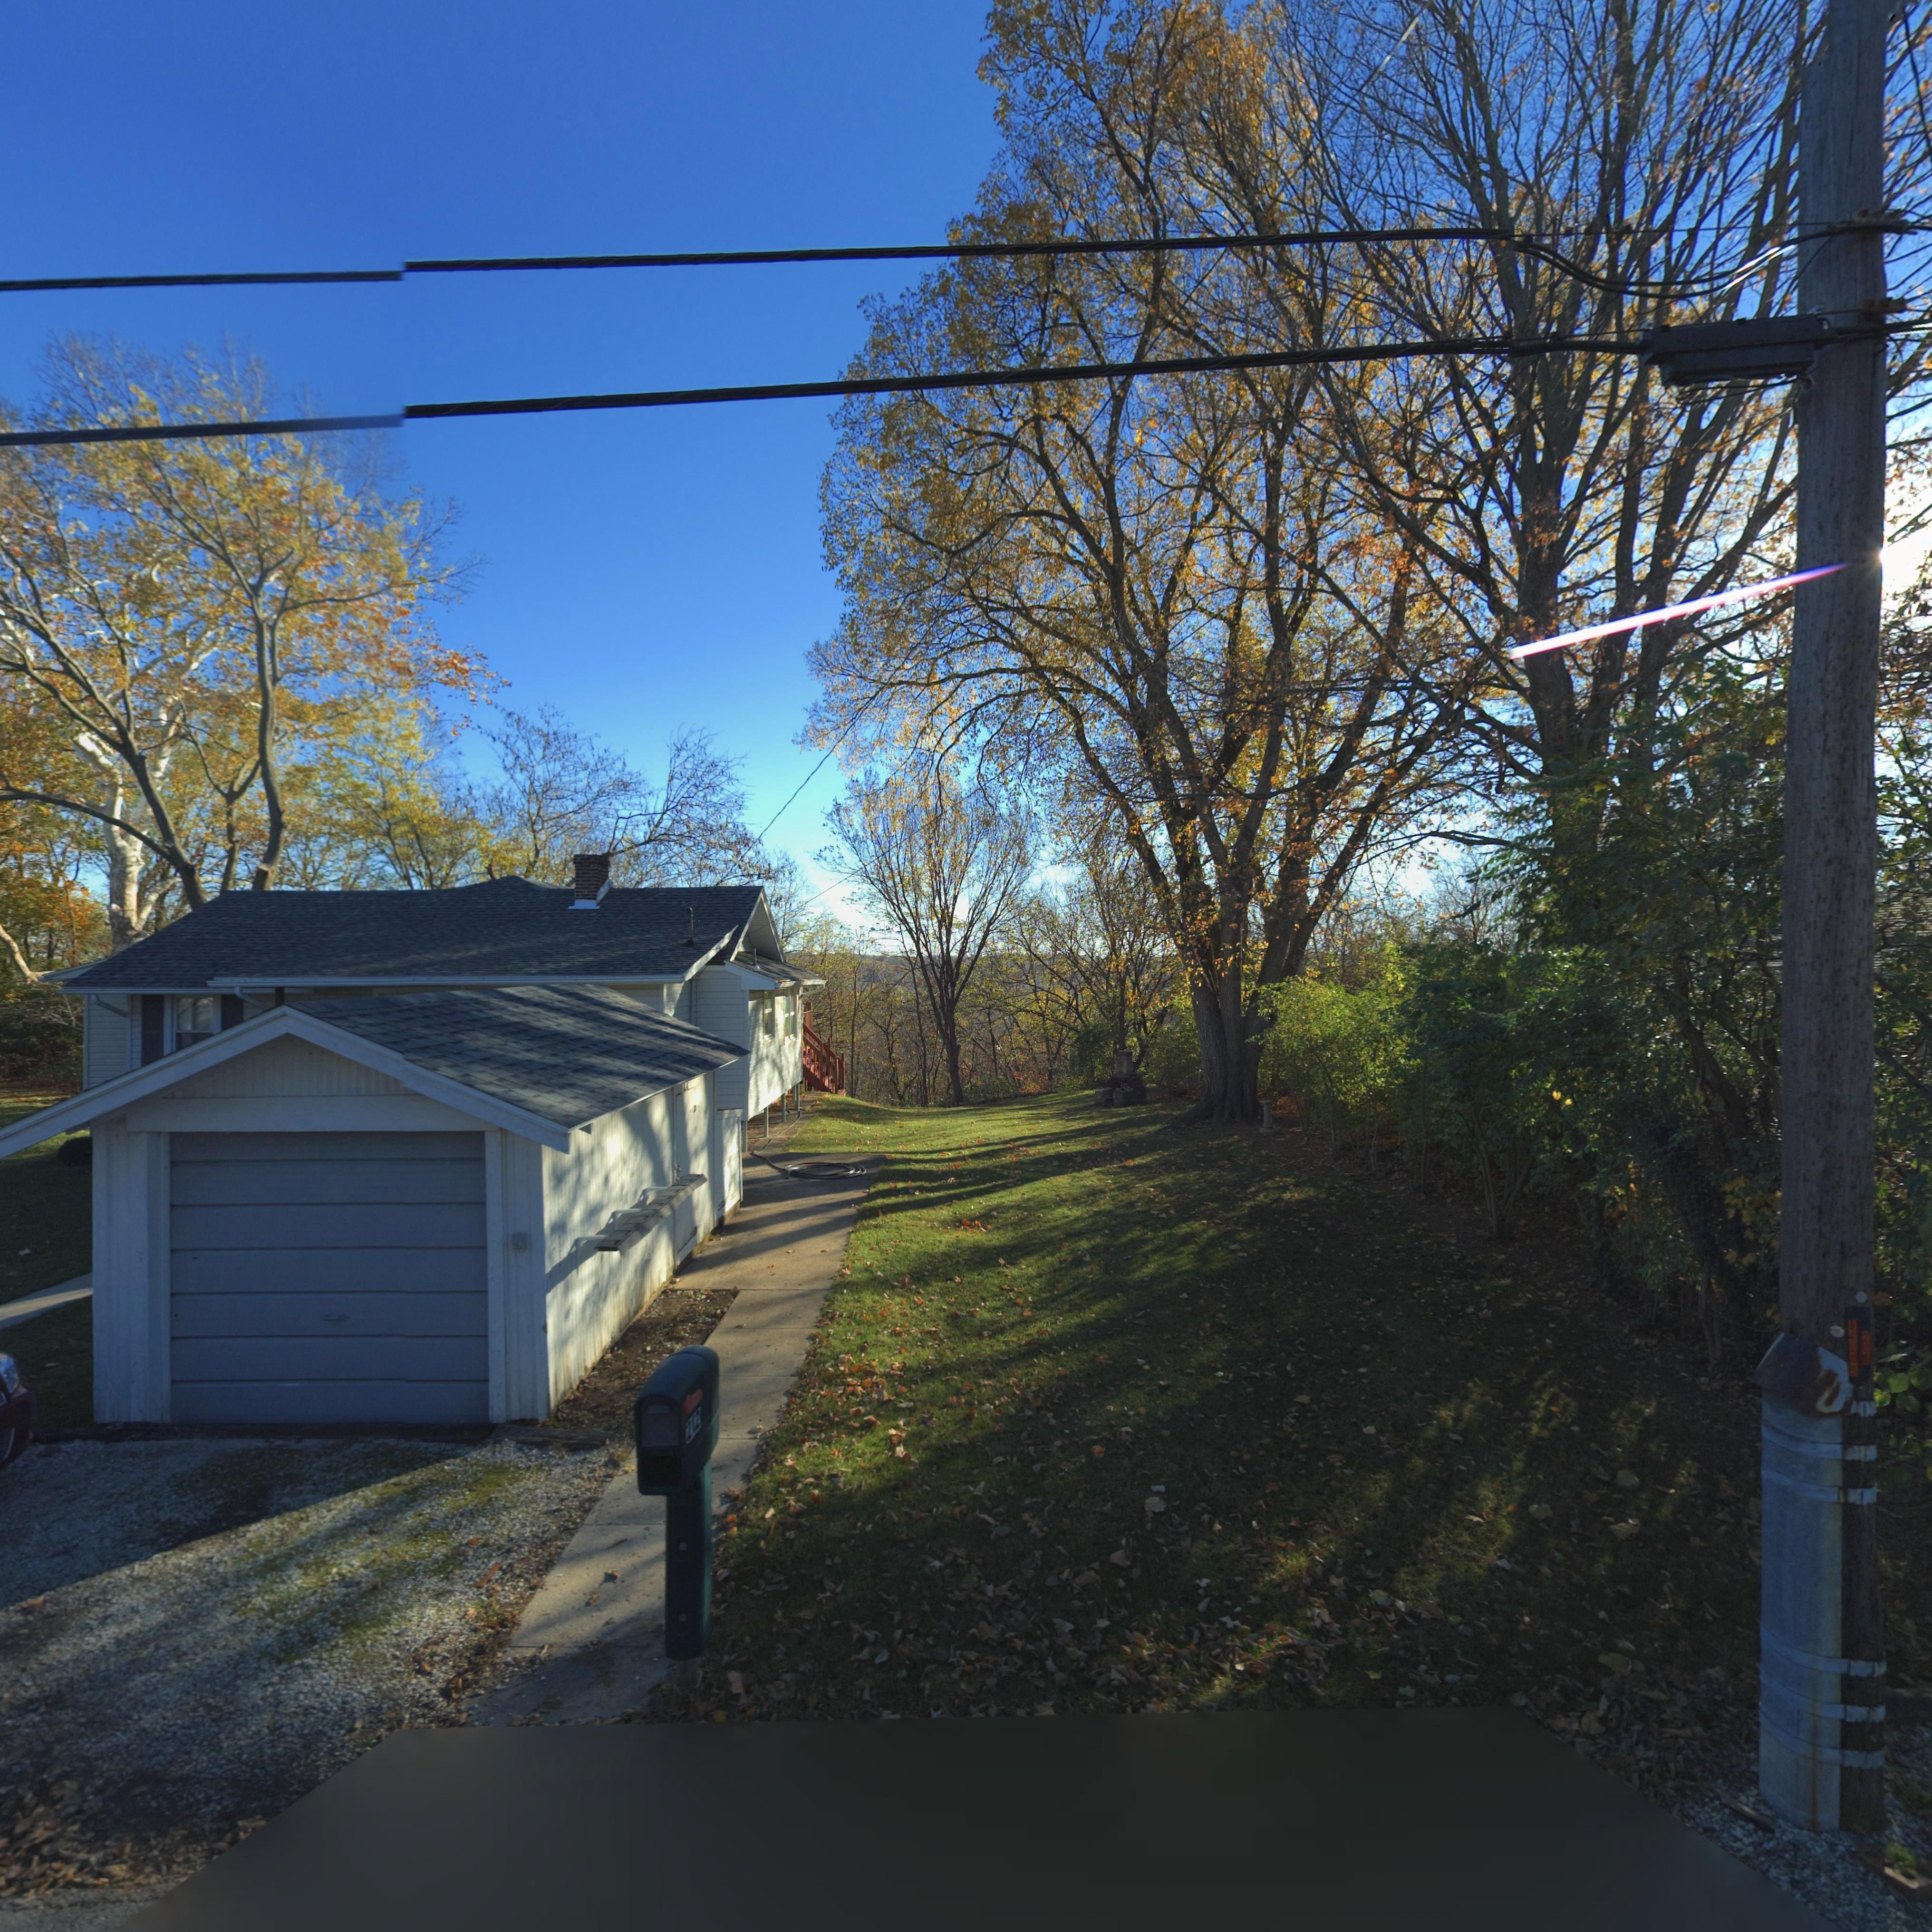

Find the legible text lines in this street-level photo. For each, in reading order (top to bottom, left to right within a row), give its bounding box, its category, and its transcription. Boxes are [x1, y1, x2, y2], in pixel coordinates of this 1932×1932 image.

[685, 1408, 701, 1444] StreetNumber: 212